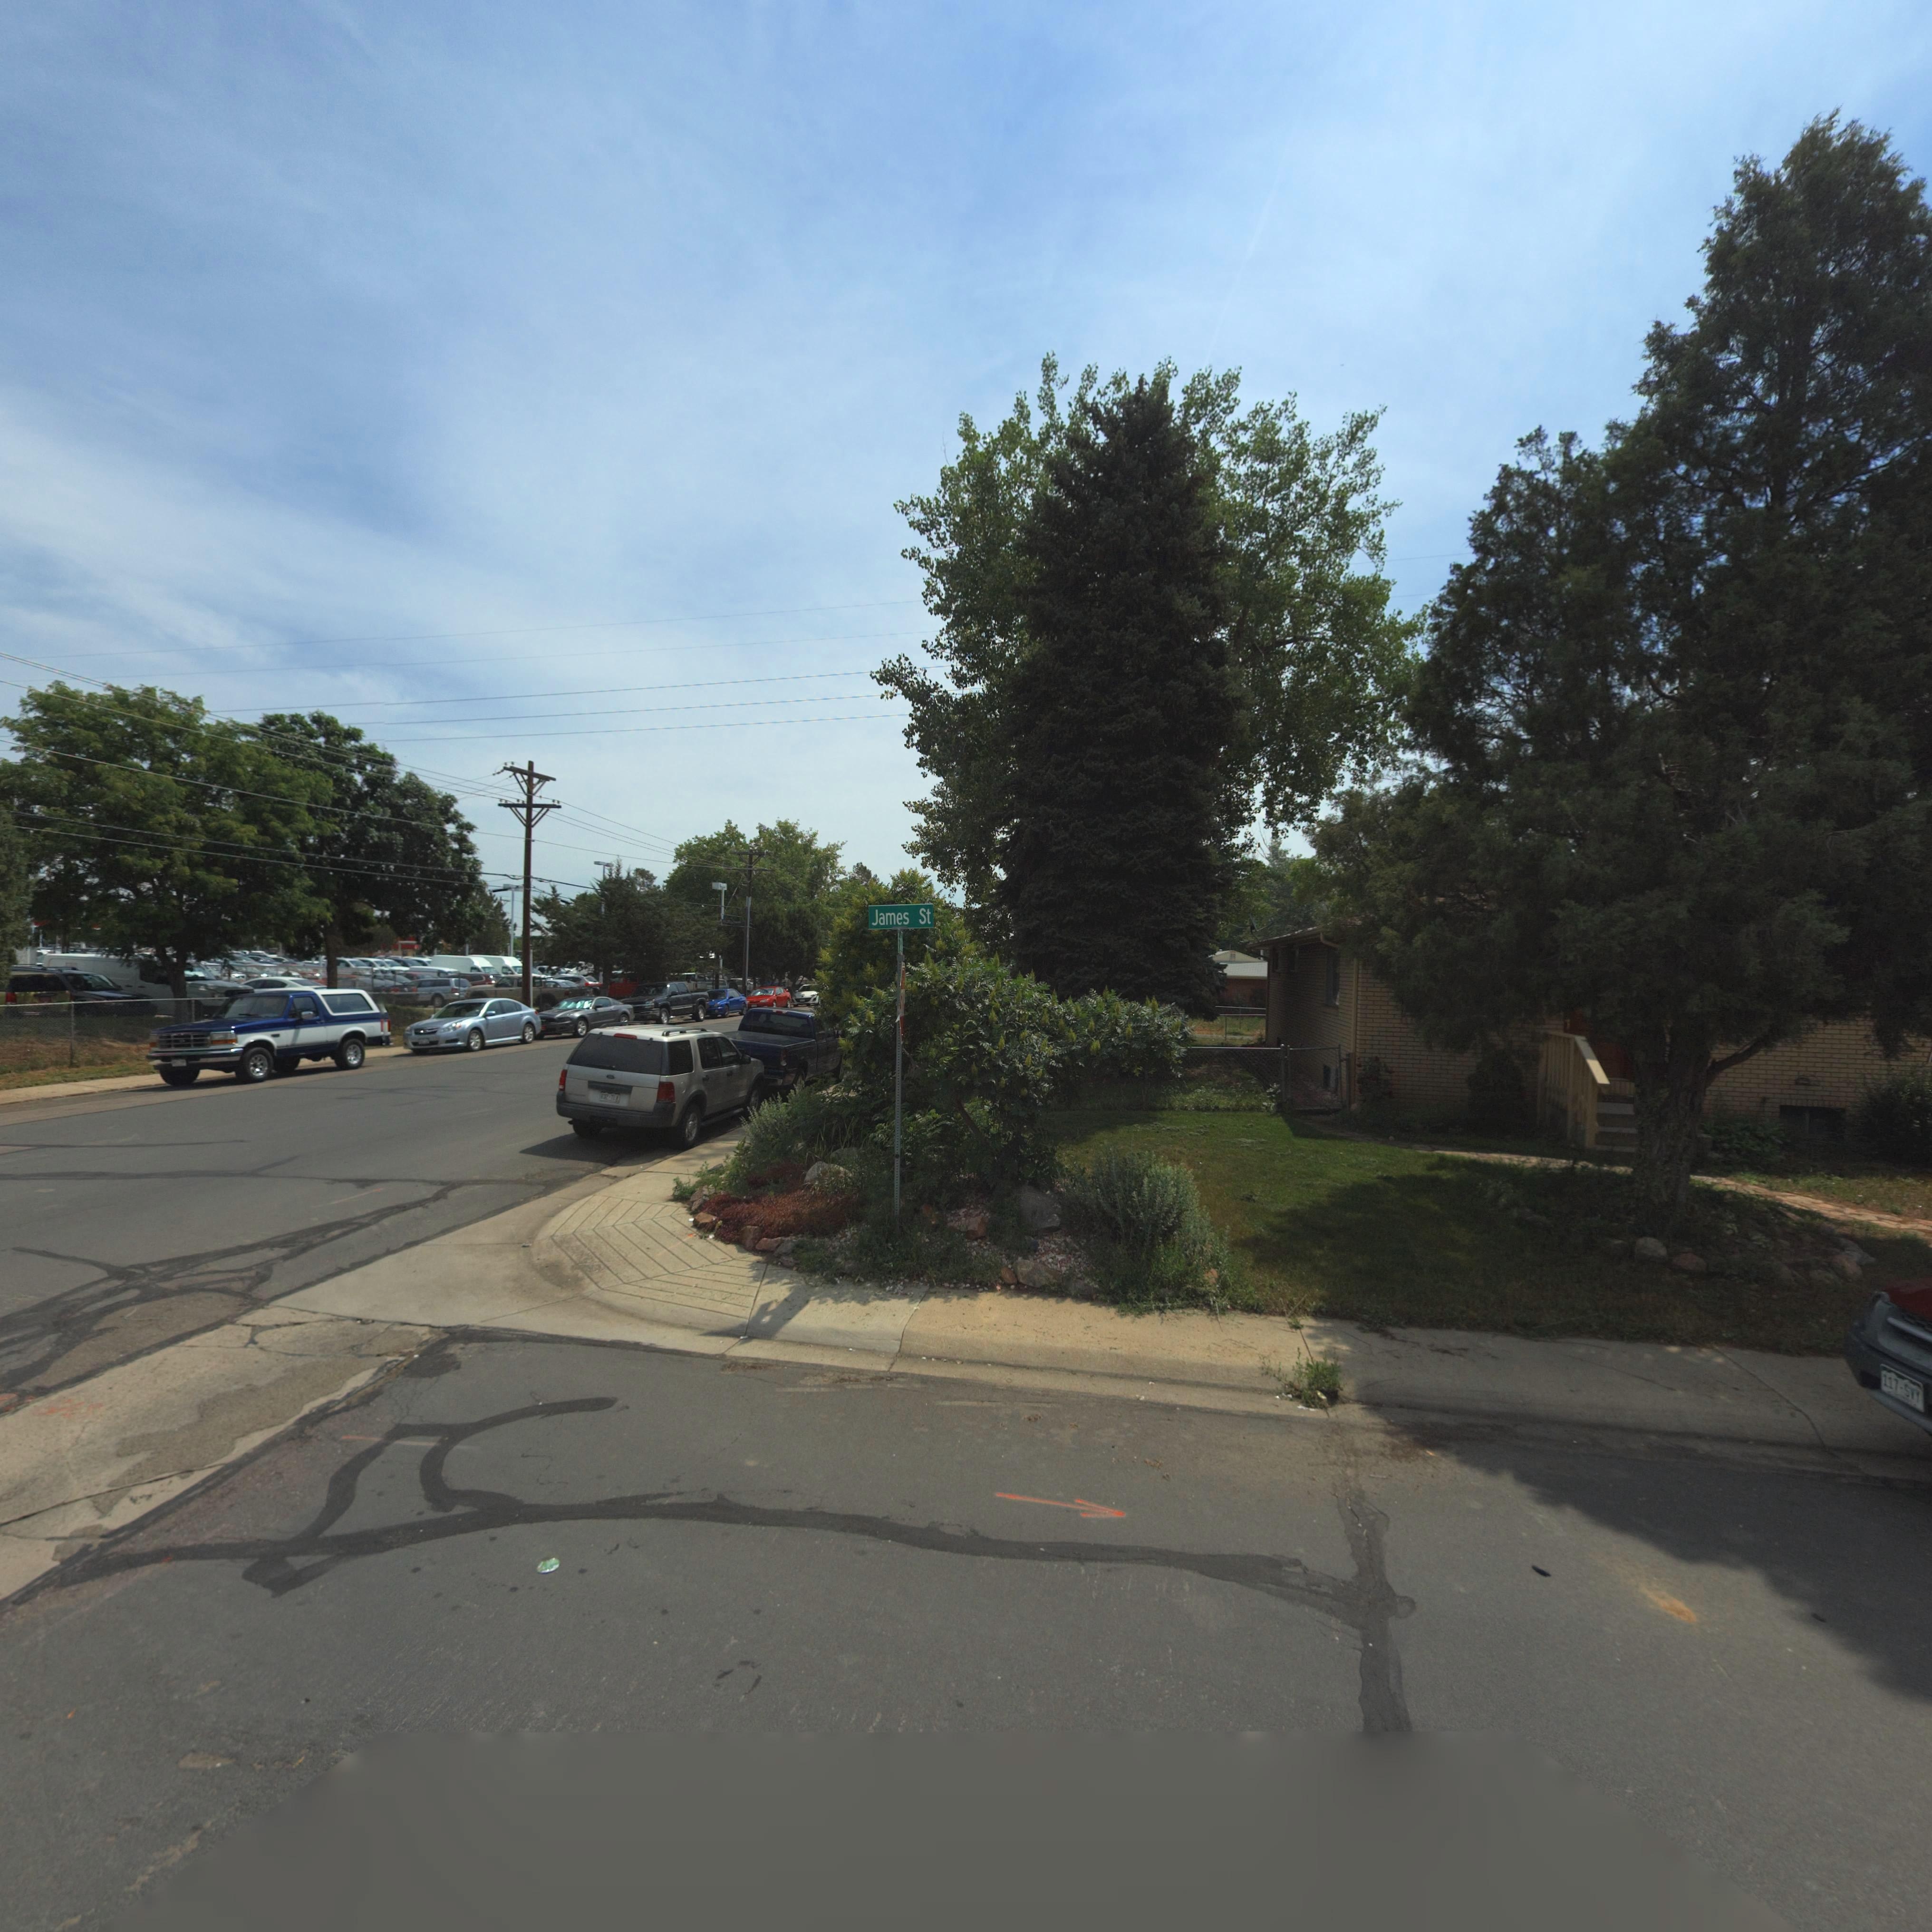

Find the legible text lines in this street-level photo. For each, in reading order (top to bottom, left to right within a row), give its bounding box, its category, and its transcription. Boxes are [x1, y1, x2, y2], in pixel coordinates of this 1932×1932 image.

[870, 907, 932, 926] StreetName: James St